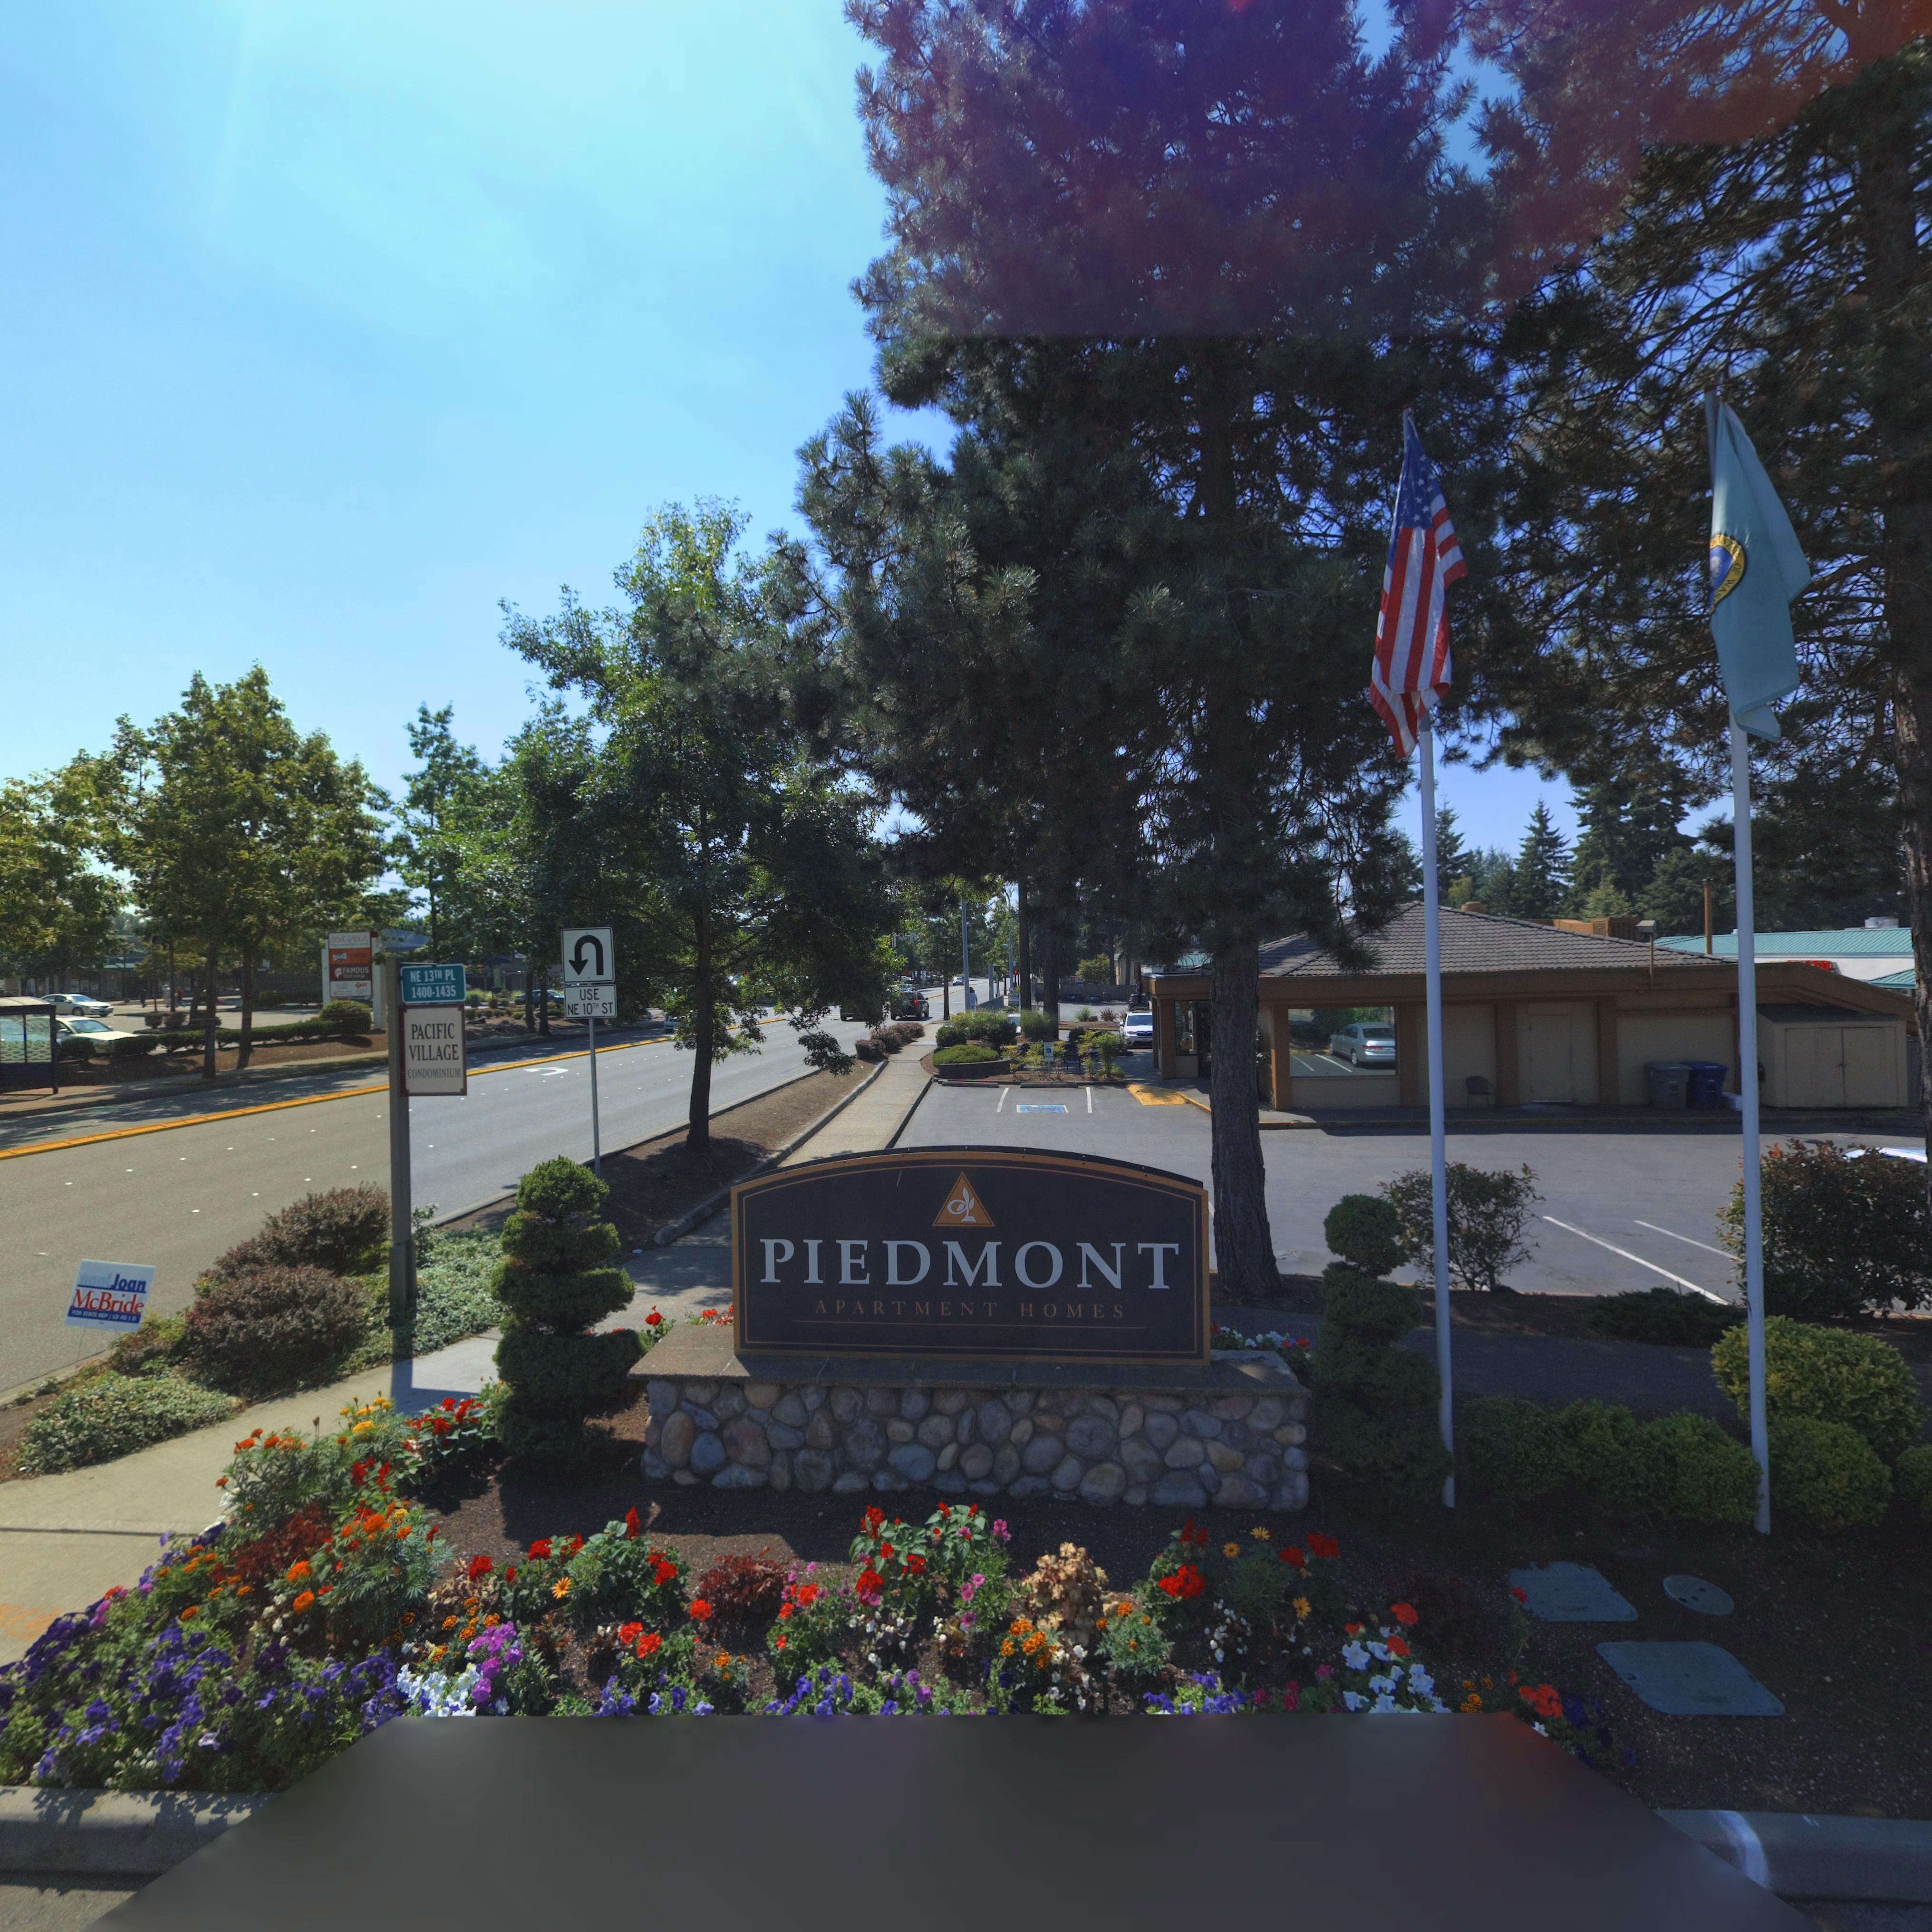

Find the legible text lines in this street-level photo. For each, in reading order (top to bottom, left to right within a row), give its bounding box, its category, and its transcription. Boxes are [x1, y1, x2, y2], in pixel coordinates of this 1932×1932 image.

[343, 966, 368, 973] BusinessName: FAMOUS
[409, 968, 456, 983] StreetName: NE 13th PL
[411, 983, 458, 999] StreetNumberRange: 1400-1435